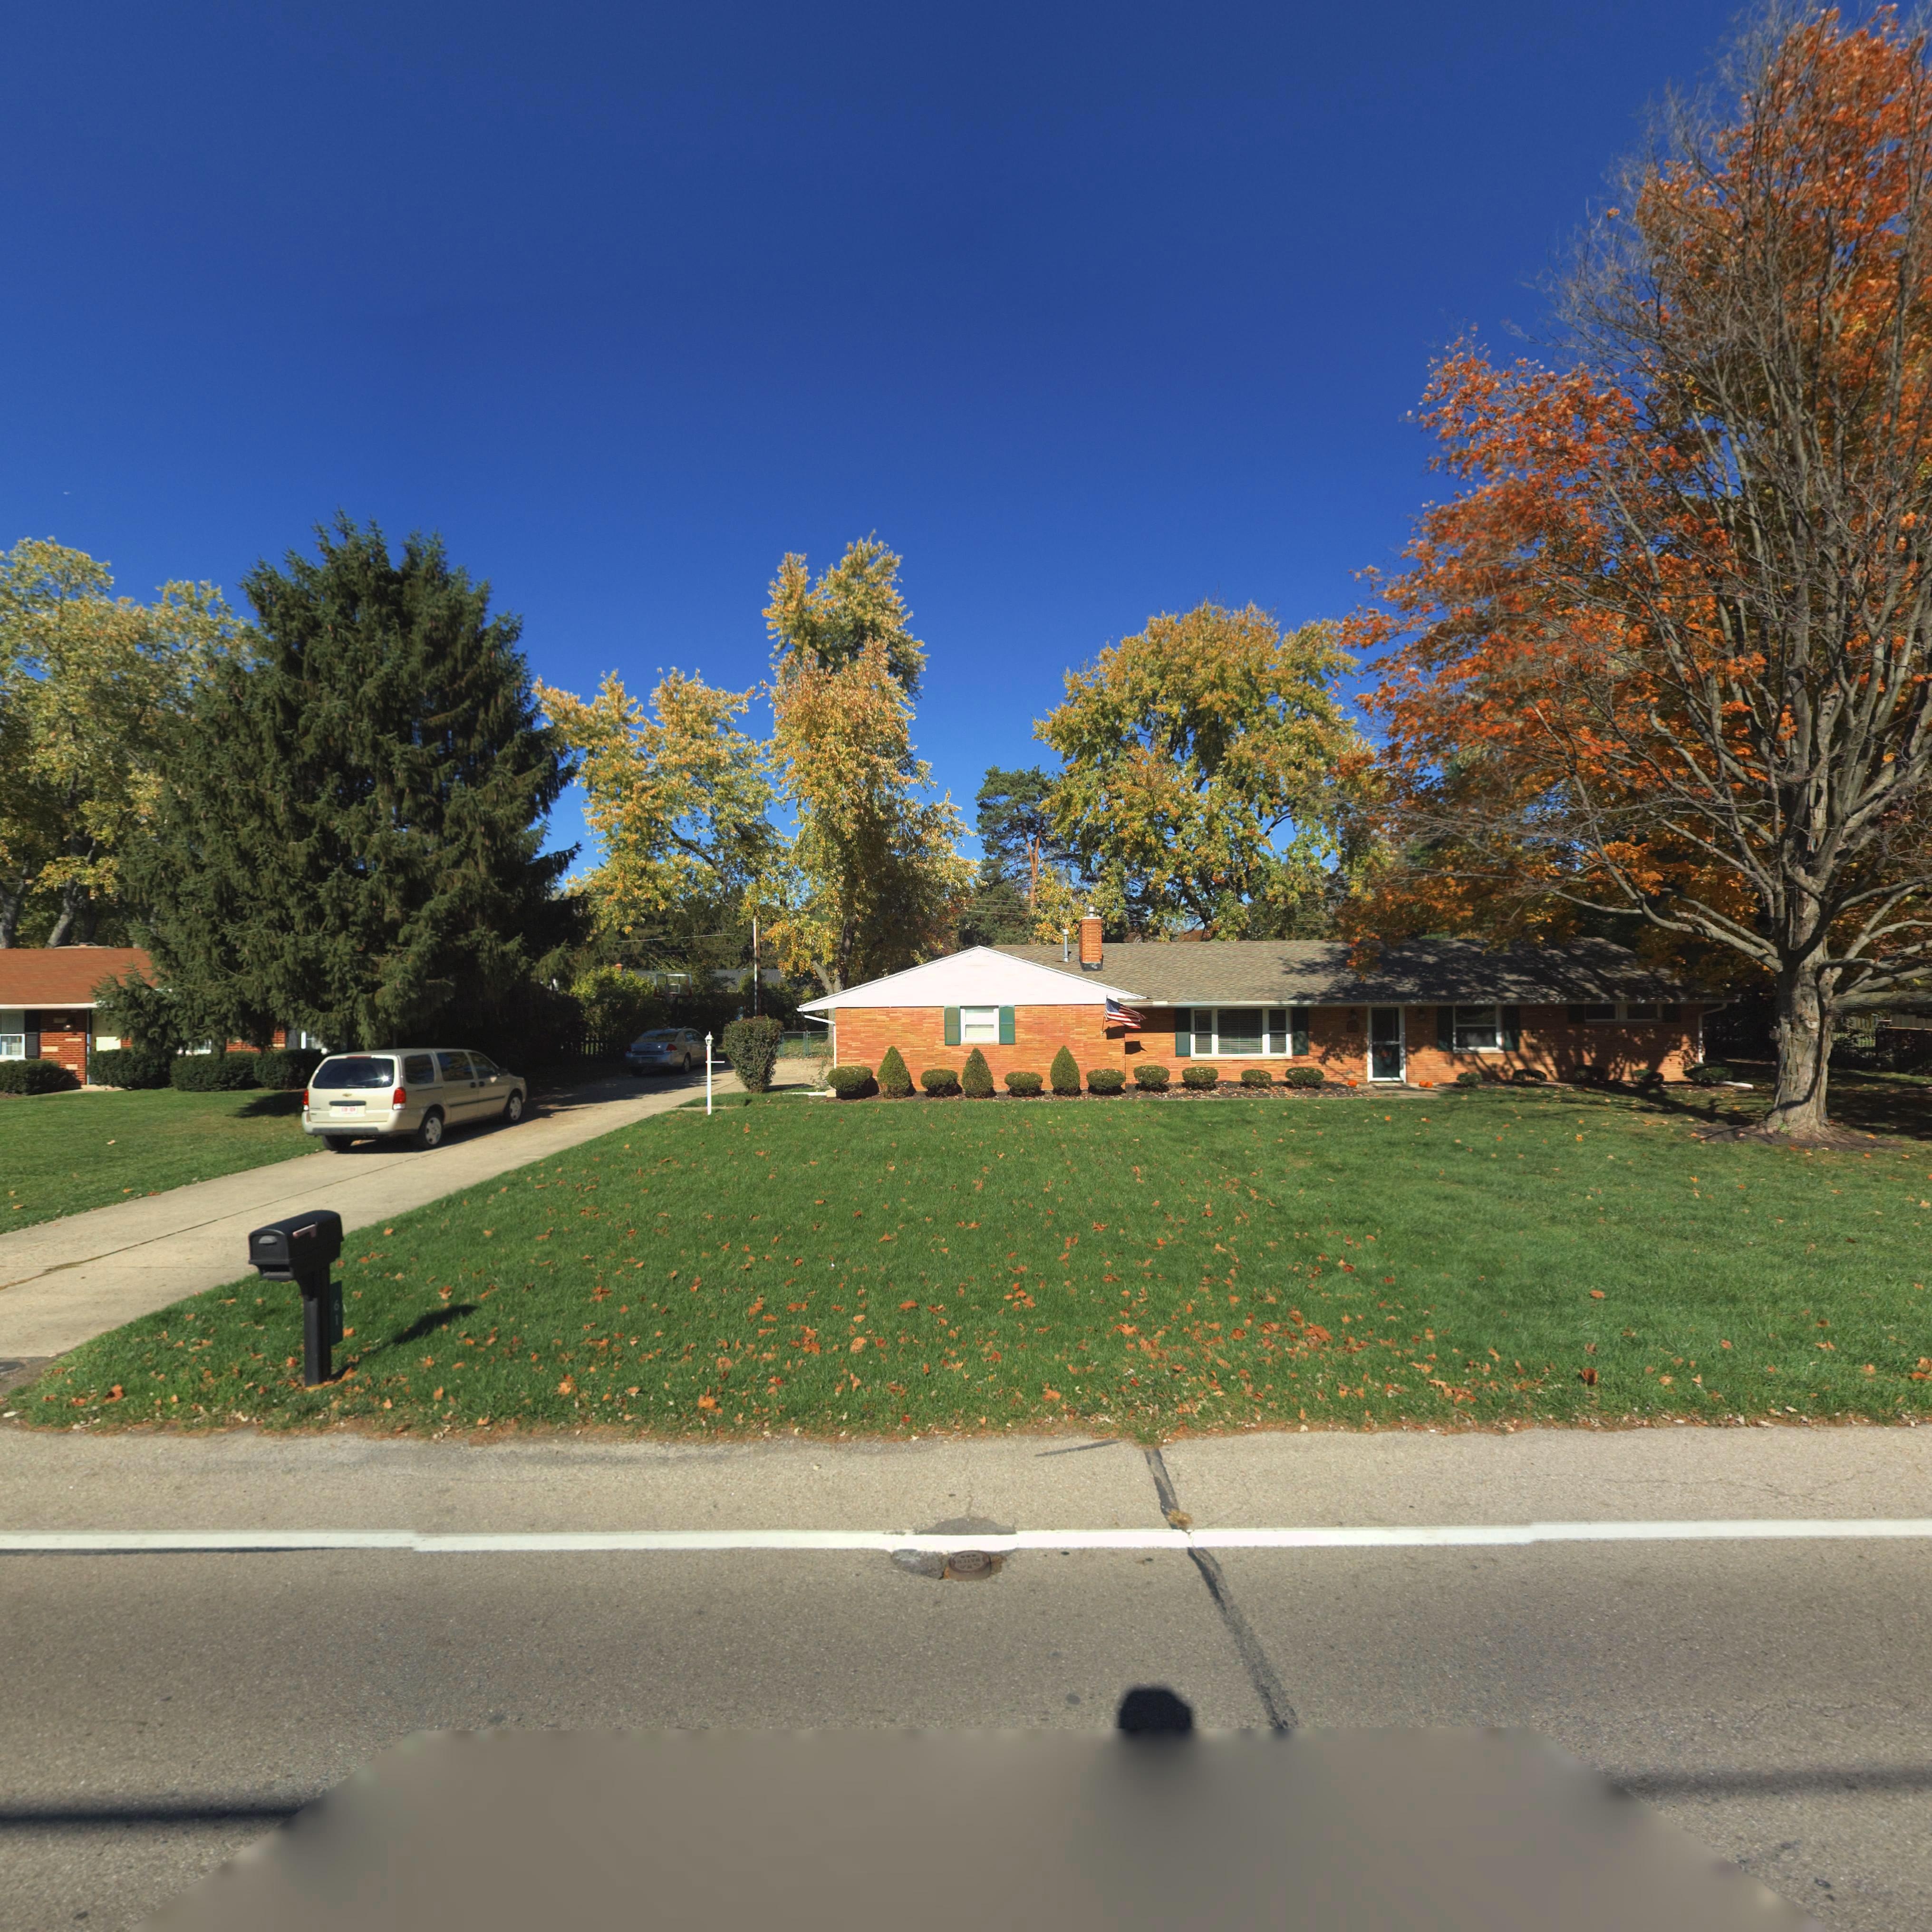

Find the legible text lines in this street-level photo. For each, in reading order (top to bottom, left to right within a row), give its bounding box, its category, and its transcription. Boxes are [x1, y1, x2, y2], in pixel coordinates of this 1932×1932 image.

[332, 1297, 341, 1328] StreetNumber: 61